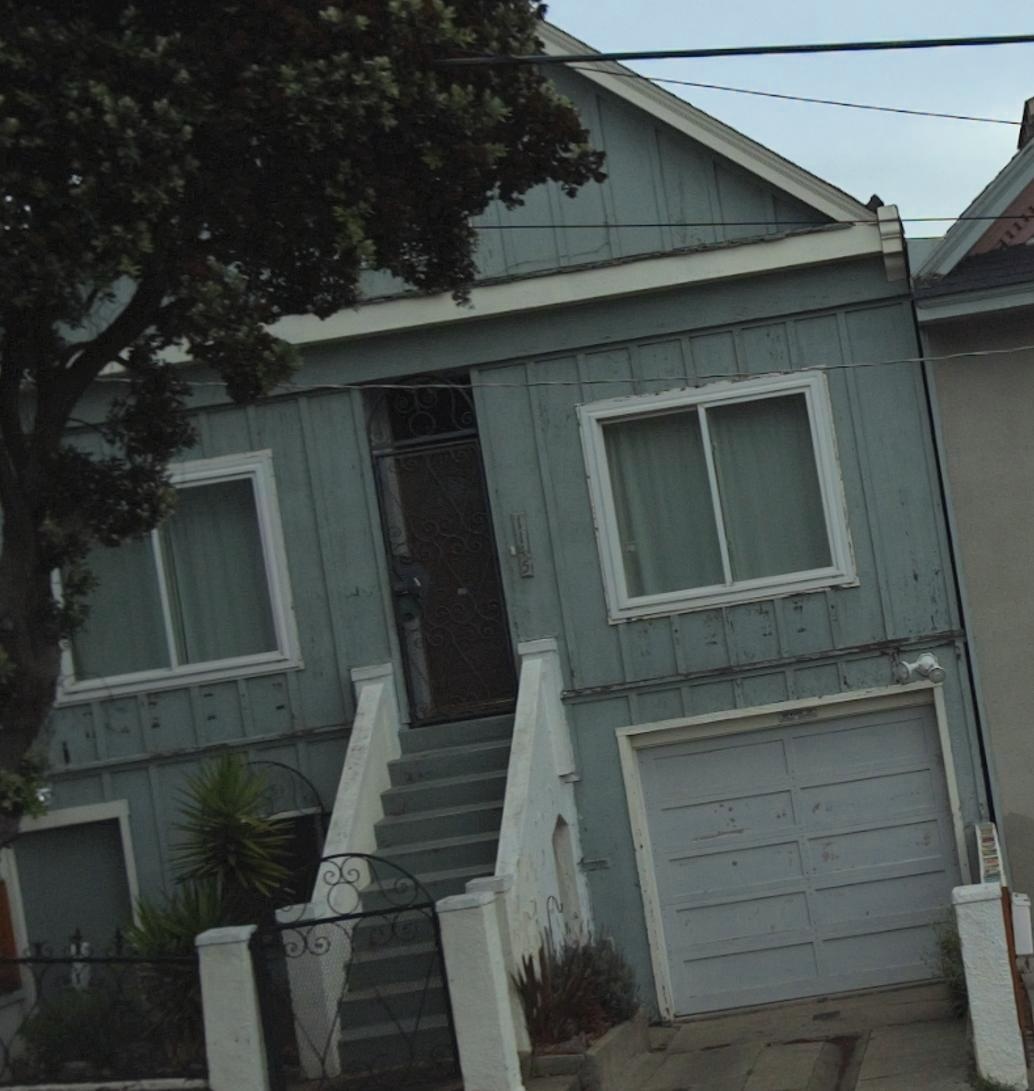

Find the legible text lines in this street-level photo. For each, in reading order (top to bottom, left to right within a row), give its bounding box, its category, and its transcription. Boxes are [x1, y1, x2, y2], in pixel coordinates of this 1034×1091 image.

[515, 514, 530, 577] StreetNumber: 1145